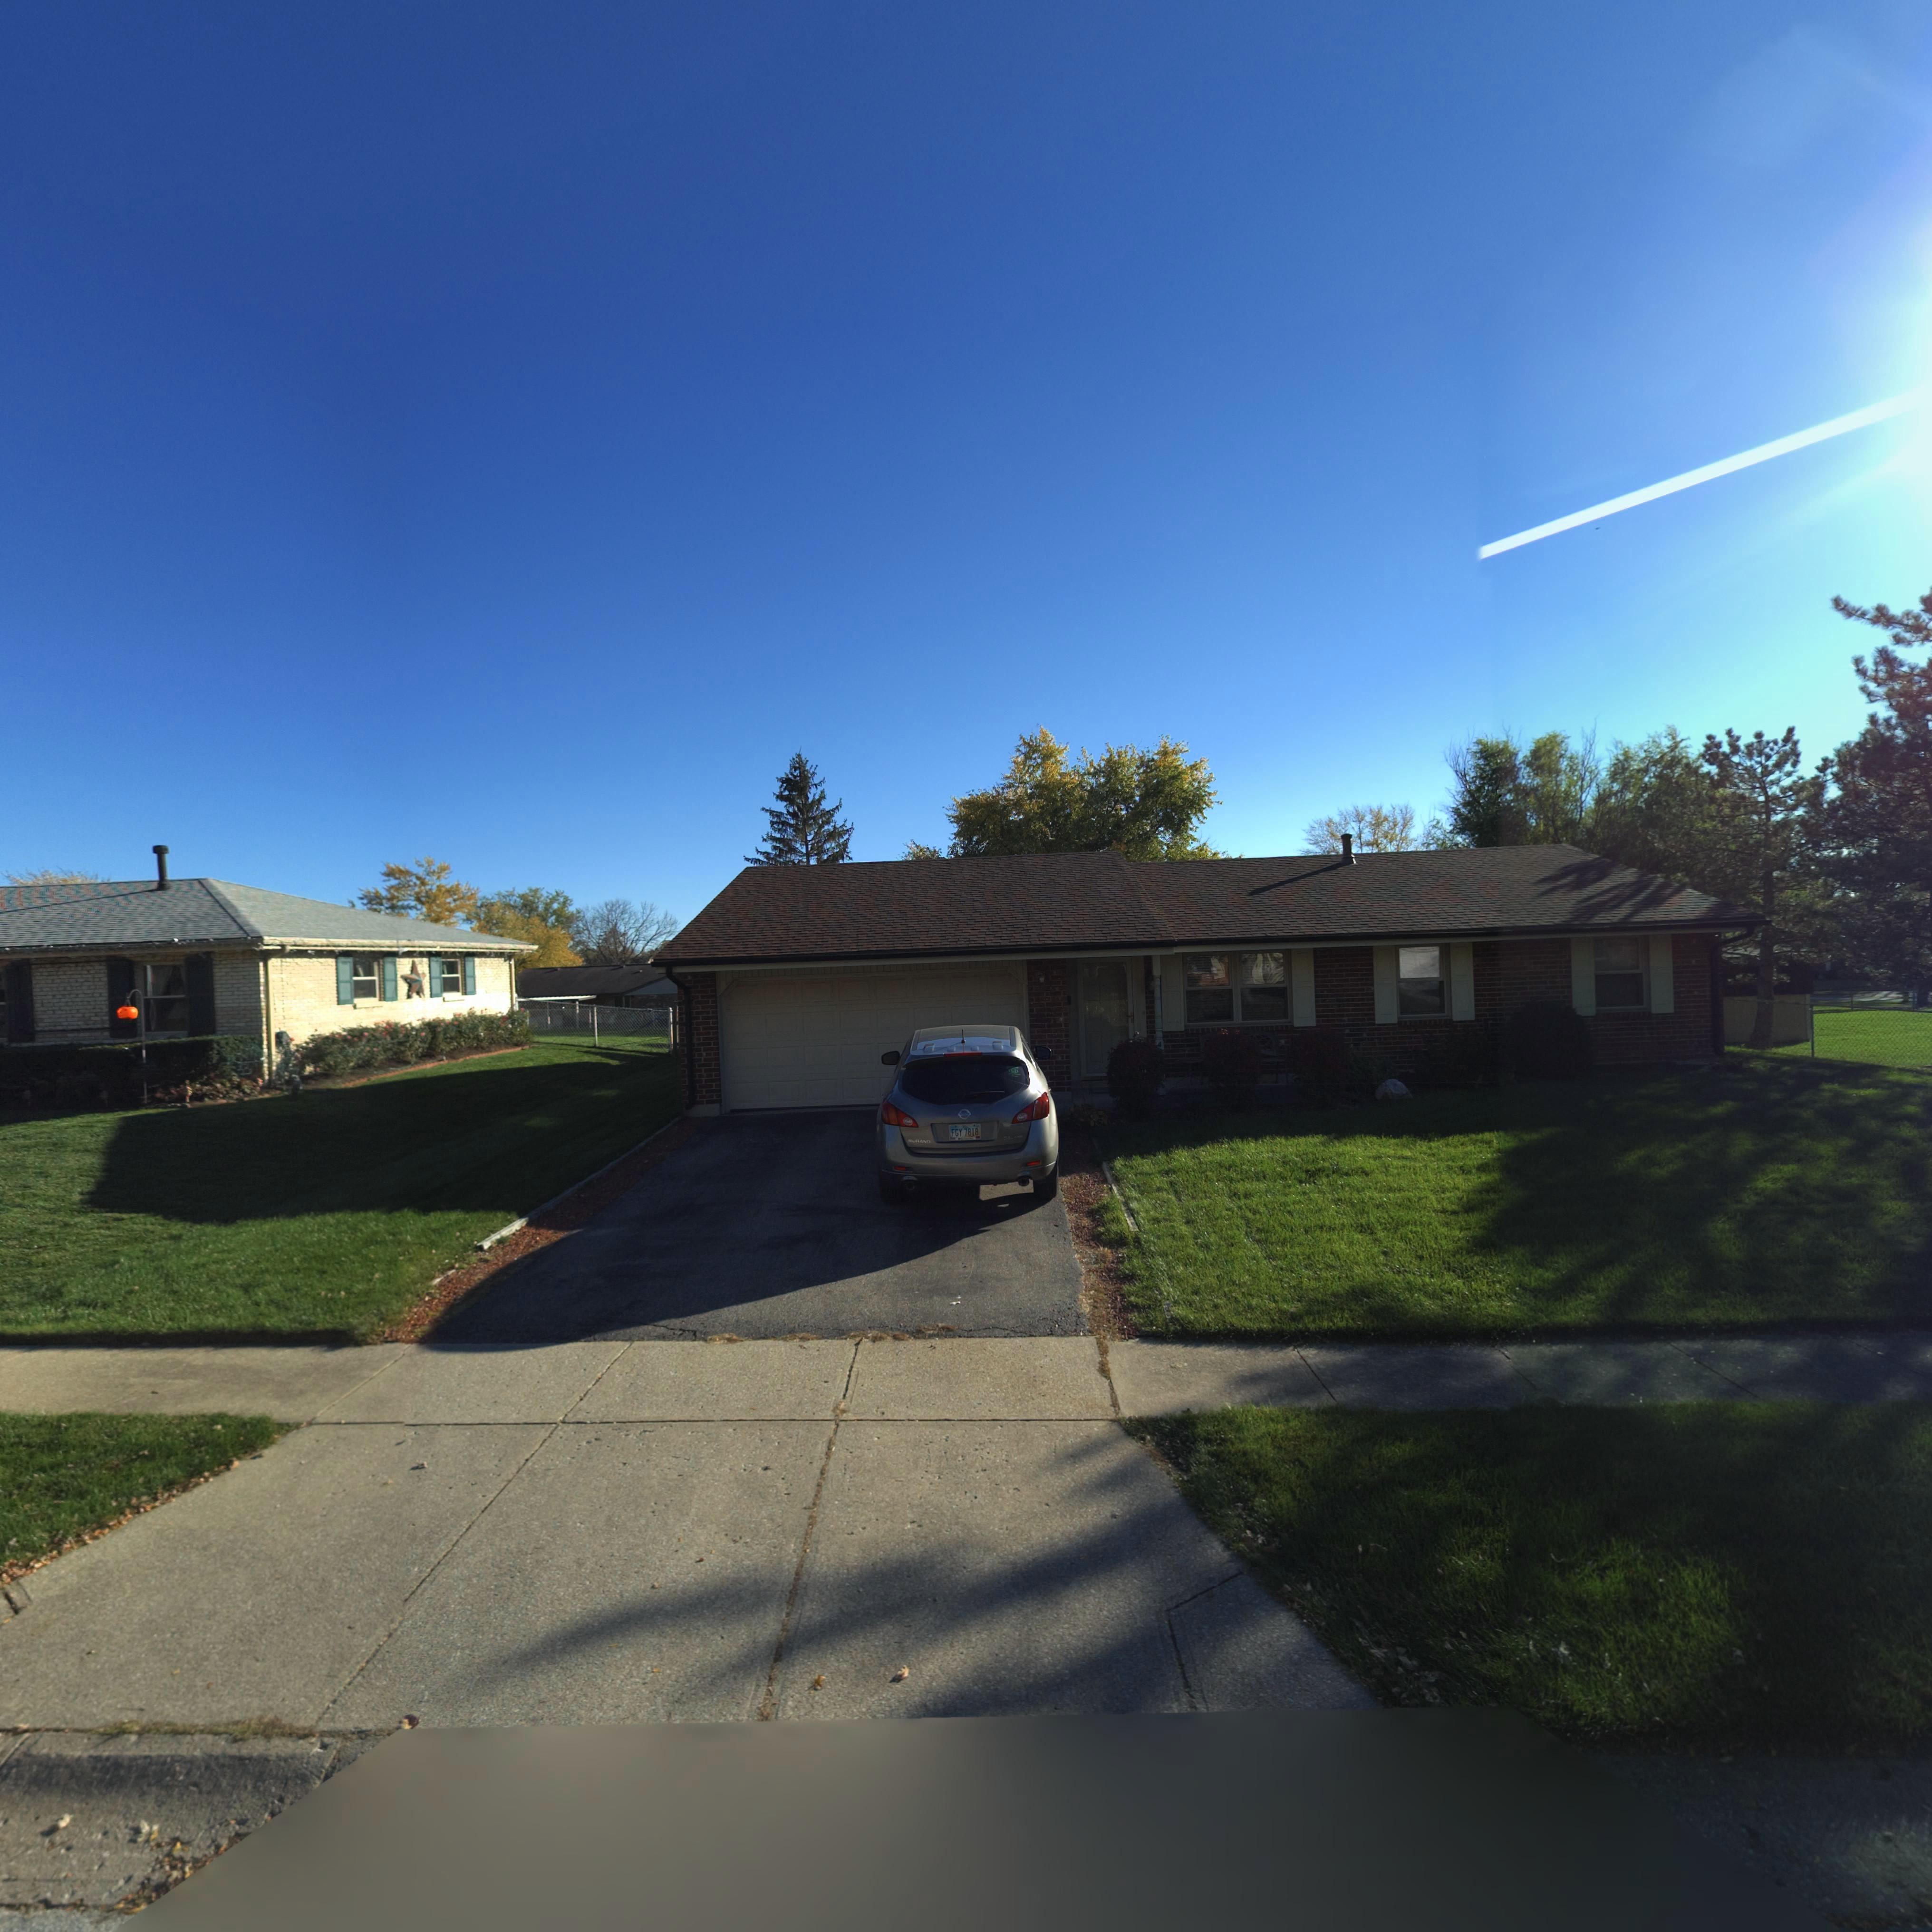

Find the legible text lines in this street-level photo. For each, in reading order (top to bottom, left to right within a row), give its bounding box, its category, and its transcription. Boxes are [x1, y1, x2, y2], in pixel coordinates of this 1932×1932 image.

[1157, 1040, 1163, 1048] StreetNumber: 4